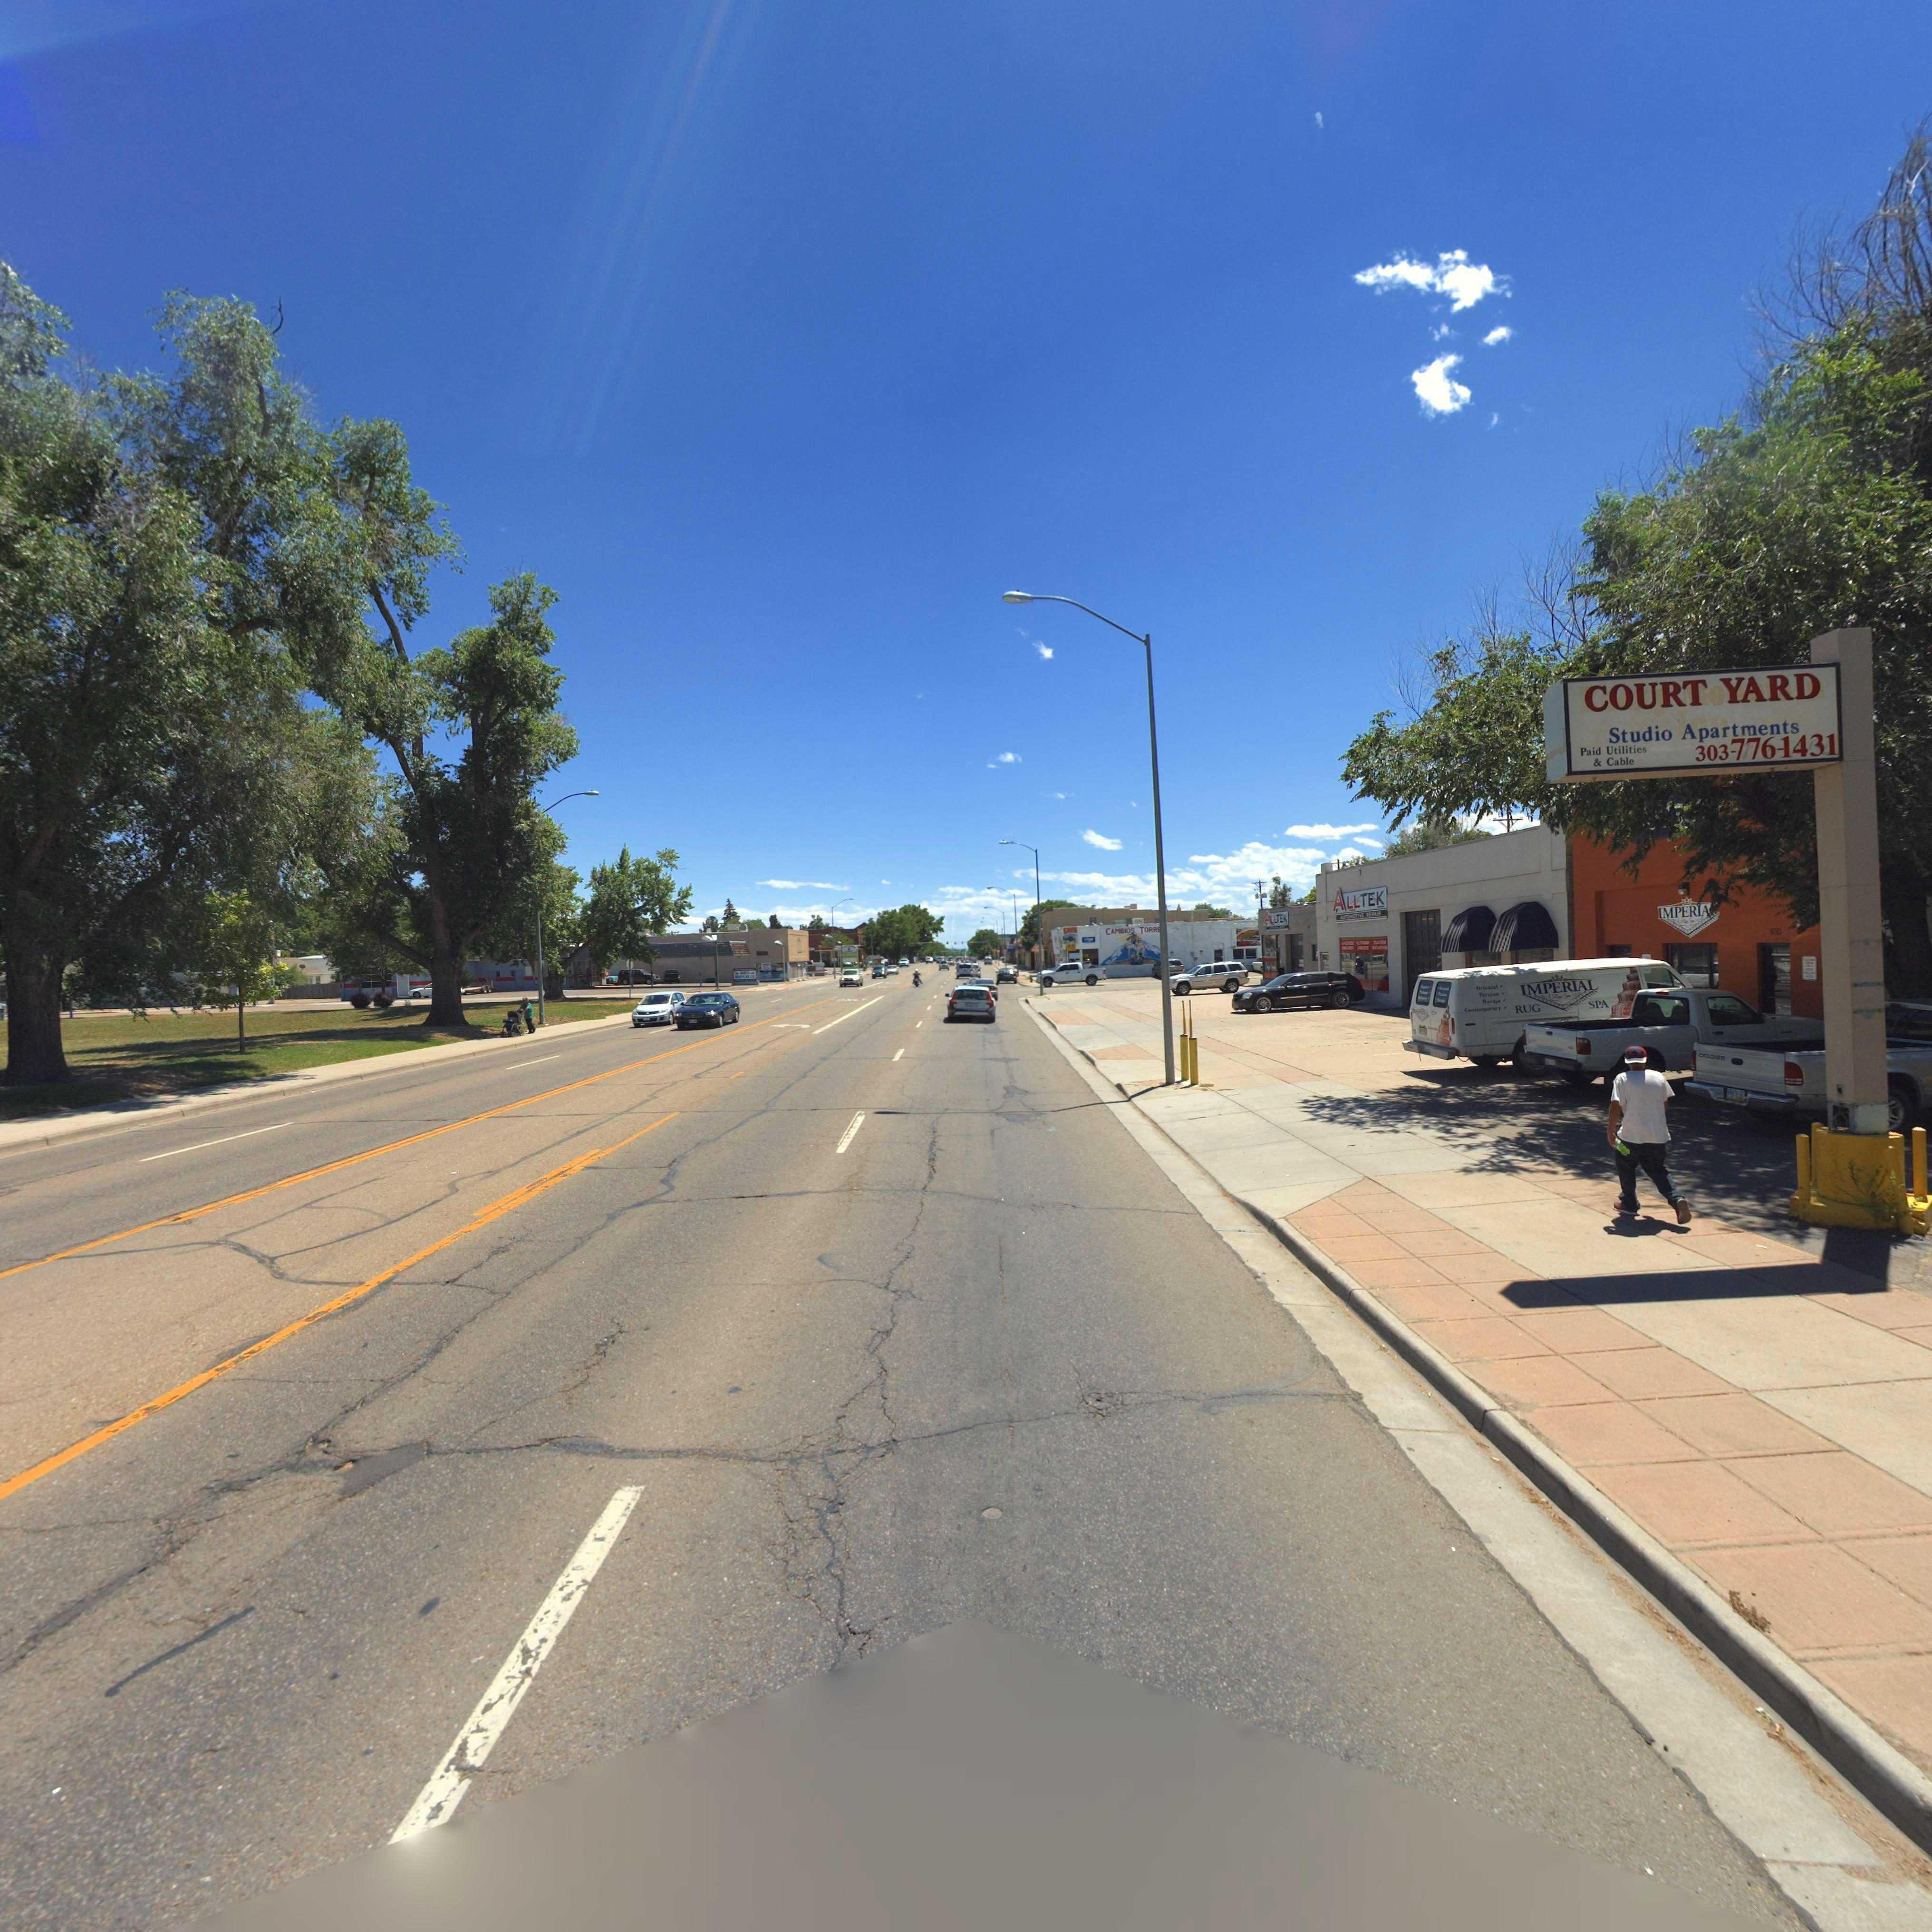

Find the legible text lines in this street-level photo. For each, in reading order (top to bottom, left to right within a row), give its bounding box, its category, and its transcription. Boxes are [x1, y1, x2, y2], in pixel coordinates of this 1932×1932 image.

[1584, 672, 1820, 712] BusinessName: COURT YARD
[1608, 721, 1799, 744] BusinessName: Studio Apartments
[1332, 888, 1385, 913] BusinessName: ALLTEK
[1263, 910, 1287, 925] BusinessName: ALLTEK
[1340, 910, 1381, 919] BusinessName: AUTOMOTIVE REPAIR
[1658, 904, 1720, 918] BusinessName: IMPERIA*
[1105, 927, 1160, 935] BusinessName: CAMBIOS TORRE
[1769, 927, 1782, 935] StreetNumber: 1011
[740, 971, 749, 975] BusinessName: KENS'S
[734, 975, 755, 979] BusinessName: MUFFLER CO